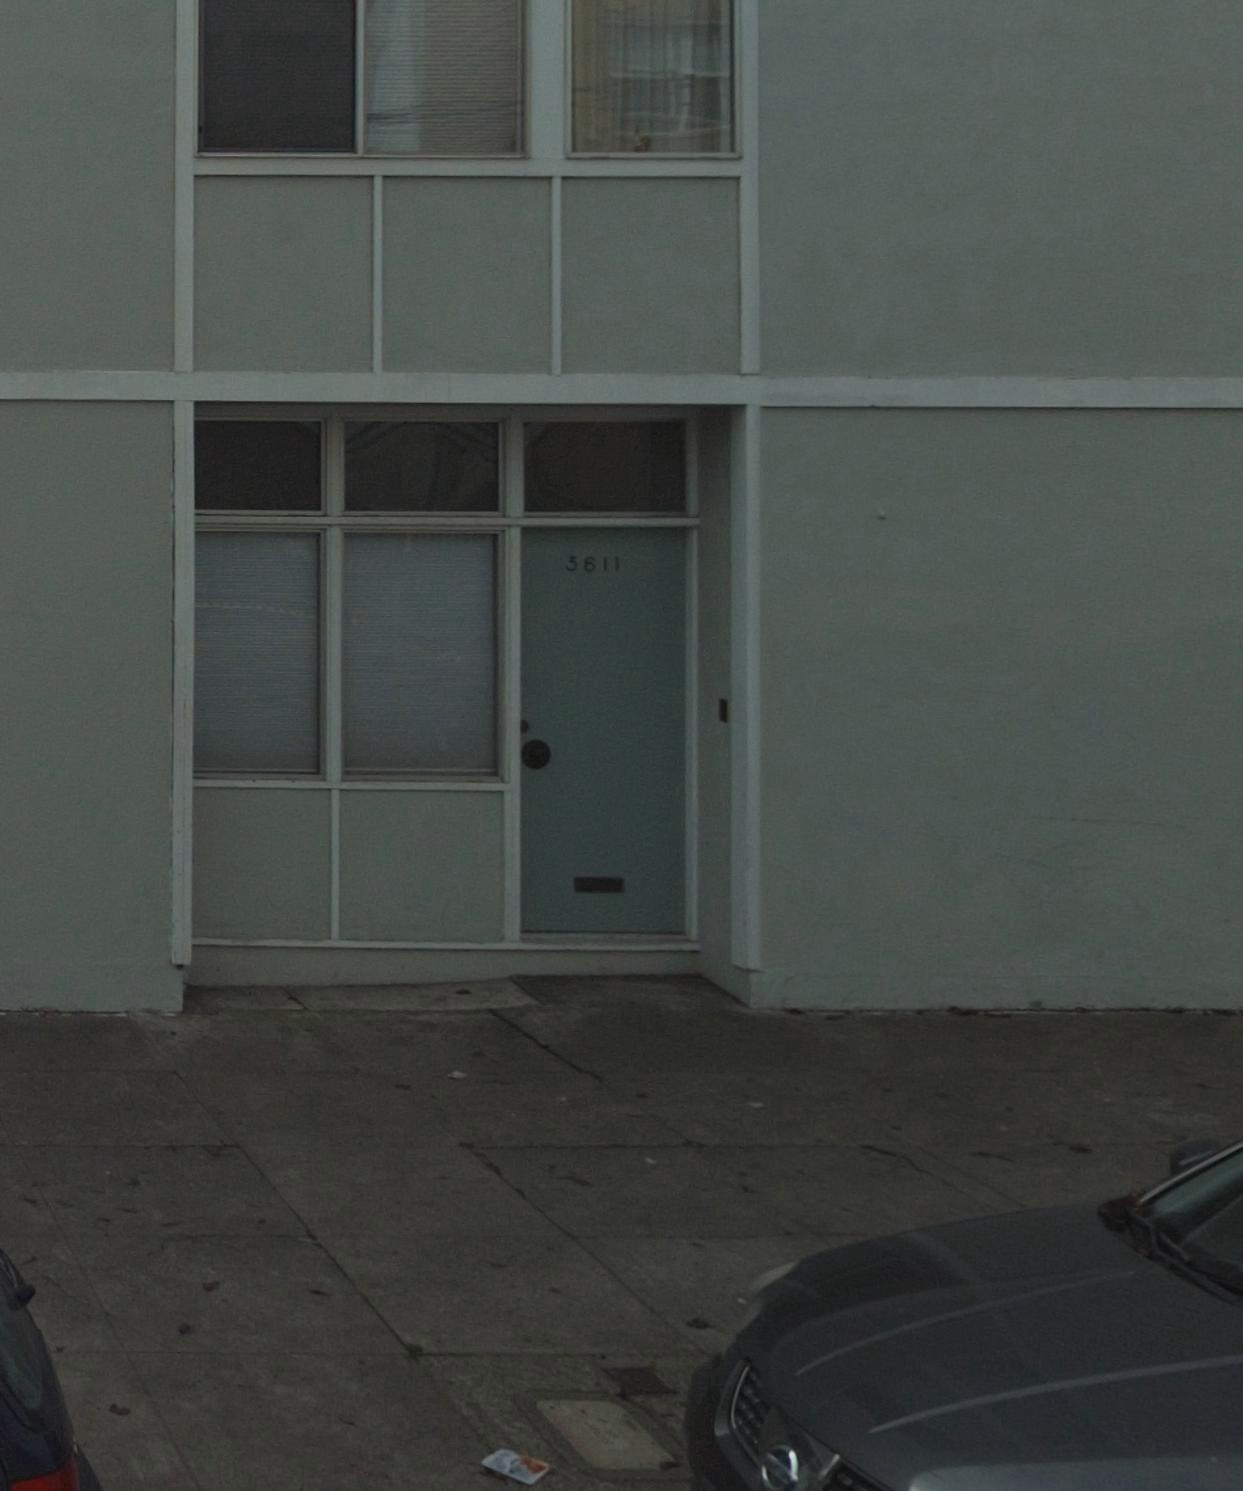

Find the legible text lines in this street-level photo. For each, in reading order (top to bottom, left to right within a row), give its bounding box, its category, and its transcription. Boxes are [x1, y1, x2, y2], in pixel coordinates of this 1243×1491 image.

[565, 555, 621, 574] StreetNumber: 3611